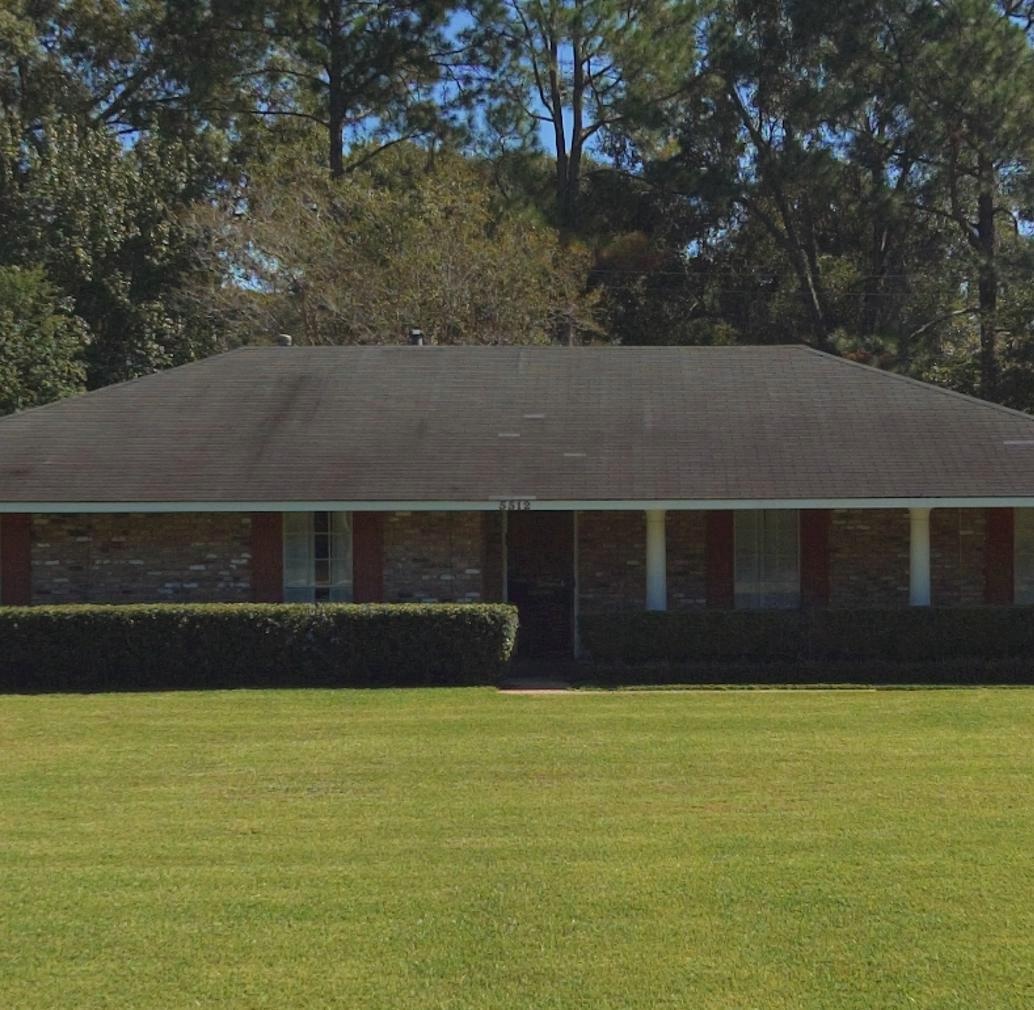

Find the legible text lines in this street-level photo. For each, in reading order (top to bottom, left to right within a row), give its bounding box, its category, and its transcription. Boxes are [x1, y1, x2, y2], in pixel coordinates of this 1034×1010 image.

[500, 500, 532, 510] StreetNumber: 5512